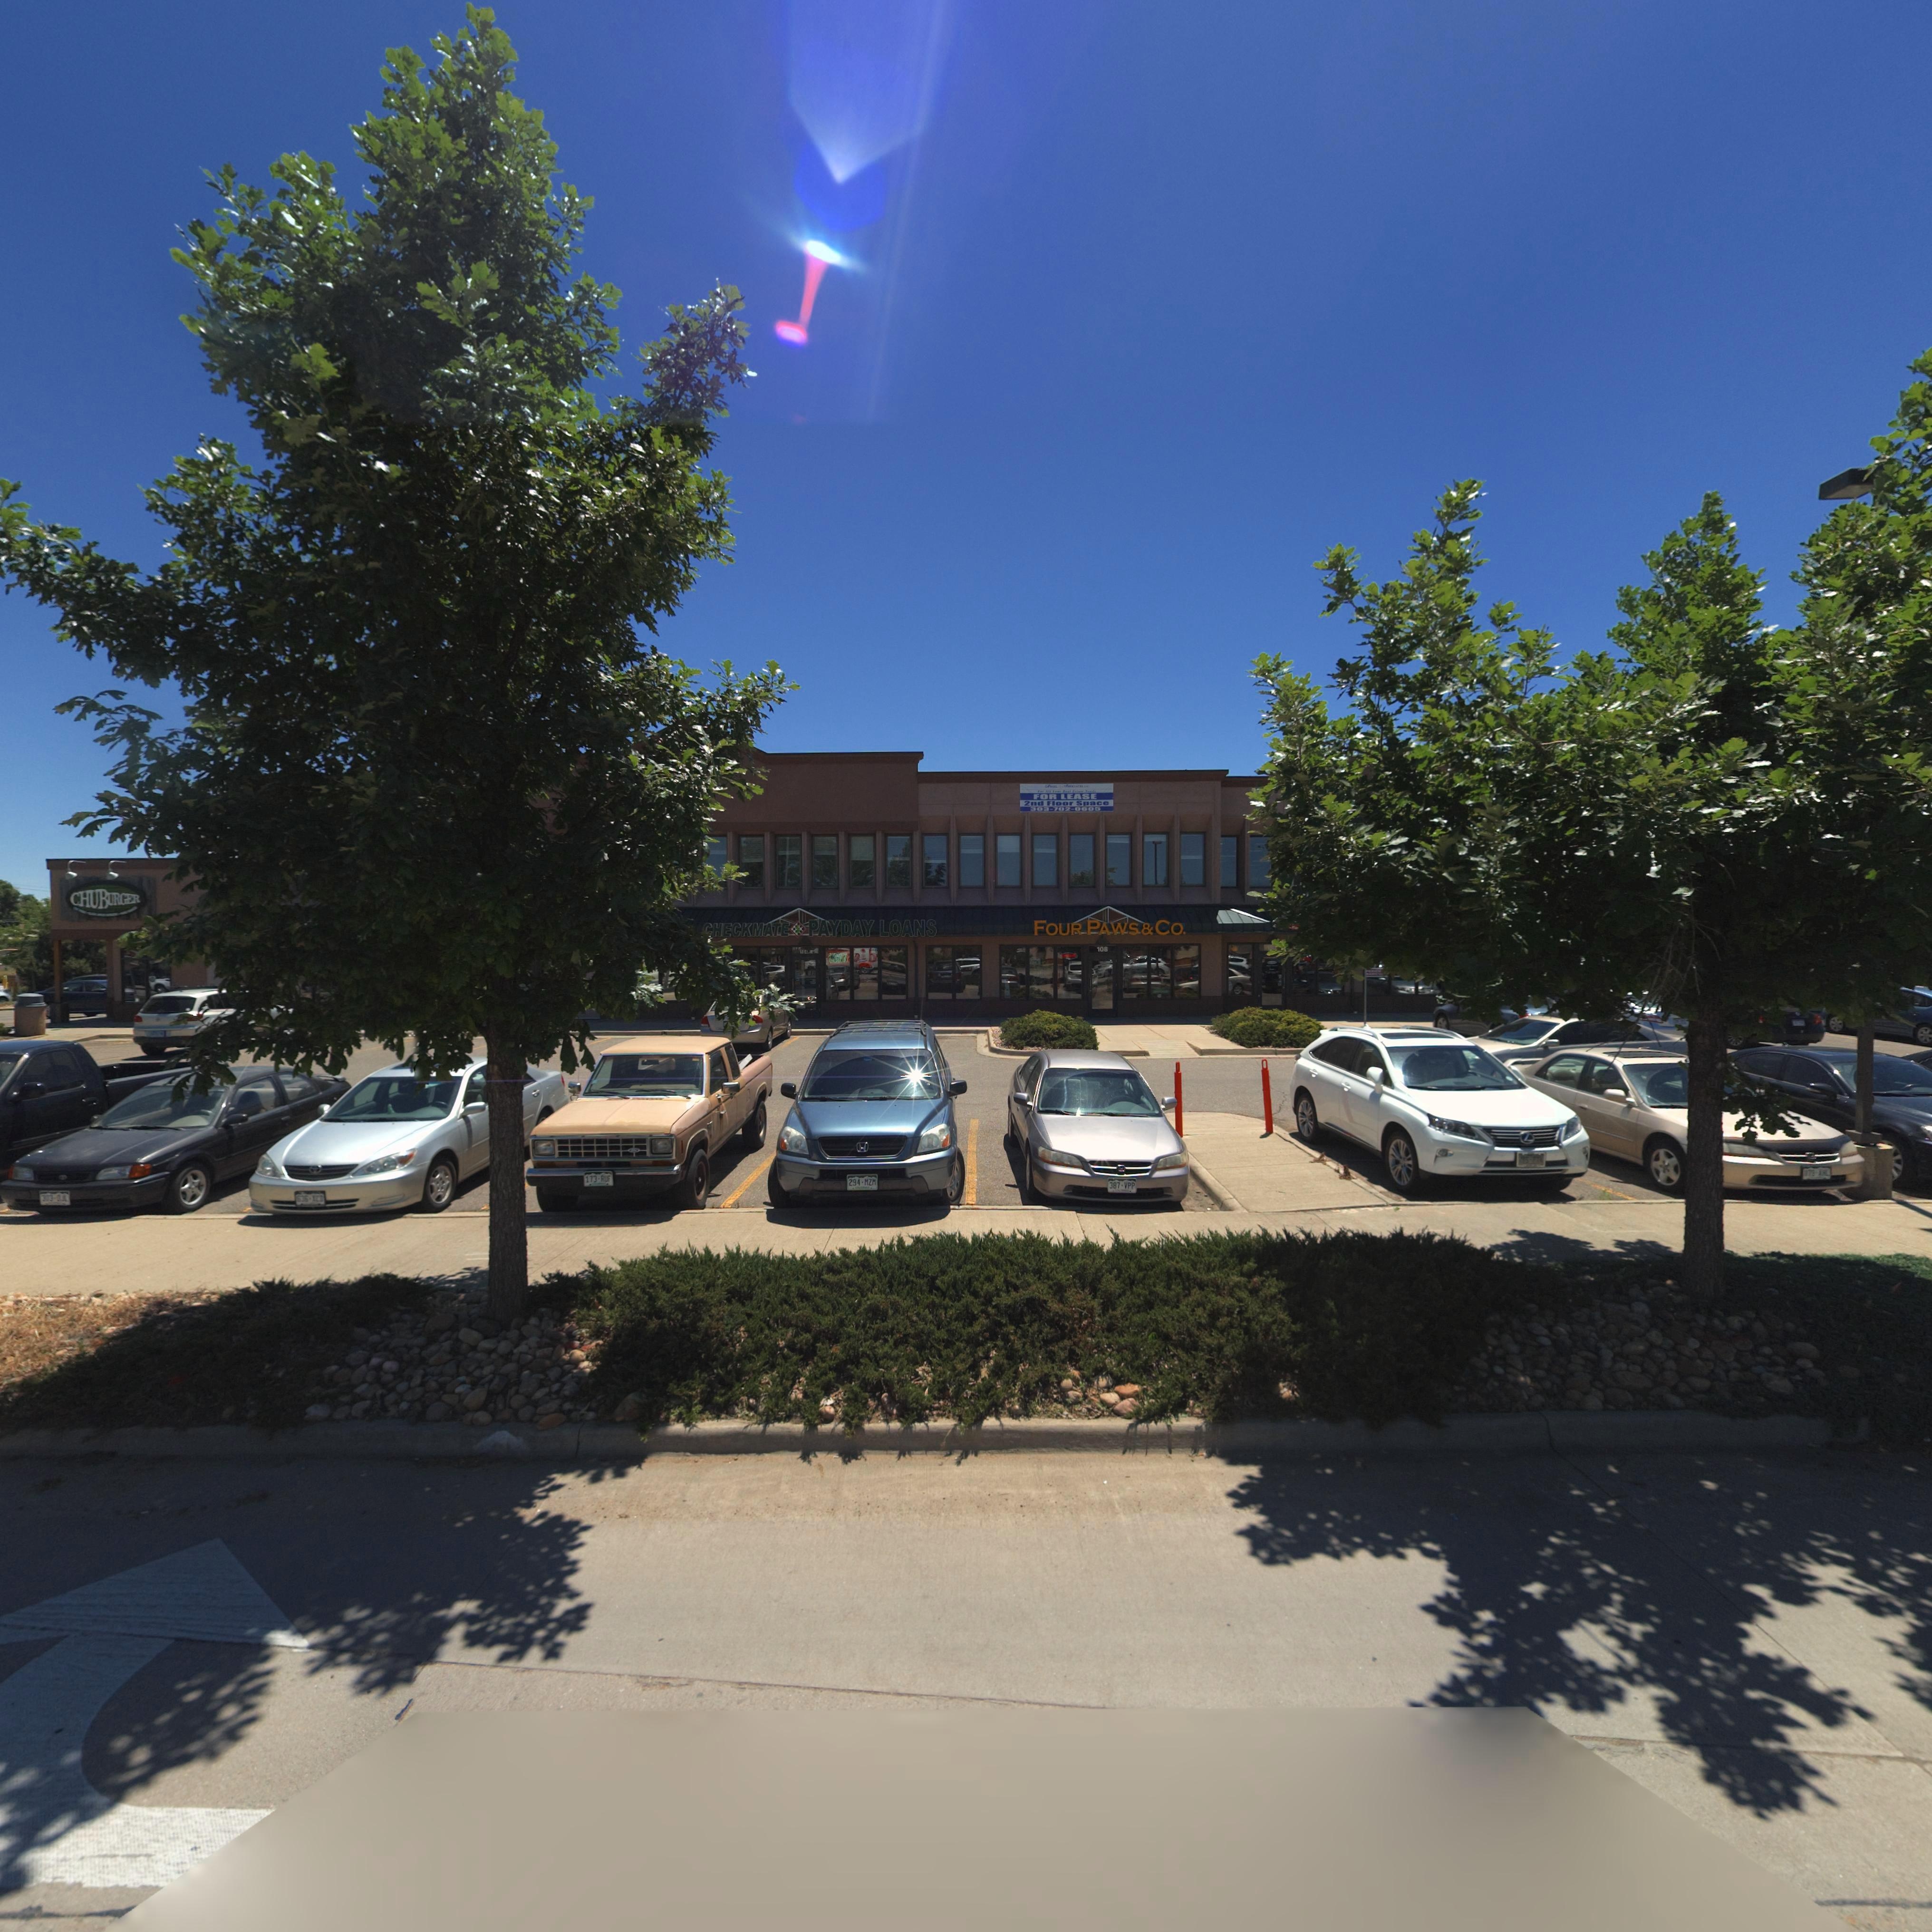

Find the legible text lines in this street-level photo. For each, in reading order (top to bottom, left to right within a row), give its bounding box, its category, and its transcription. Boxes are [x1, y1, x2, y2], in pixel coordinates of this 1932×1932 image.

[69, 888, 141, 909] BusinessName: CHUBURGER
[702, 918, 937, 937] BusinessName: CHEKCMATE PAYDAY LOANS
[1033, 918, 1187, 936] BusinessName: FOUR PAWS & CO.
[1096, 946, 1108, 952] StreetNumber: 108